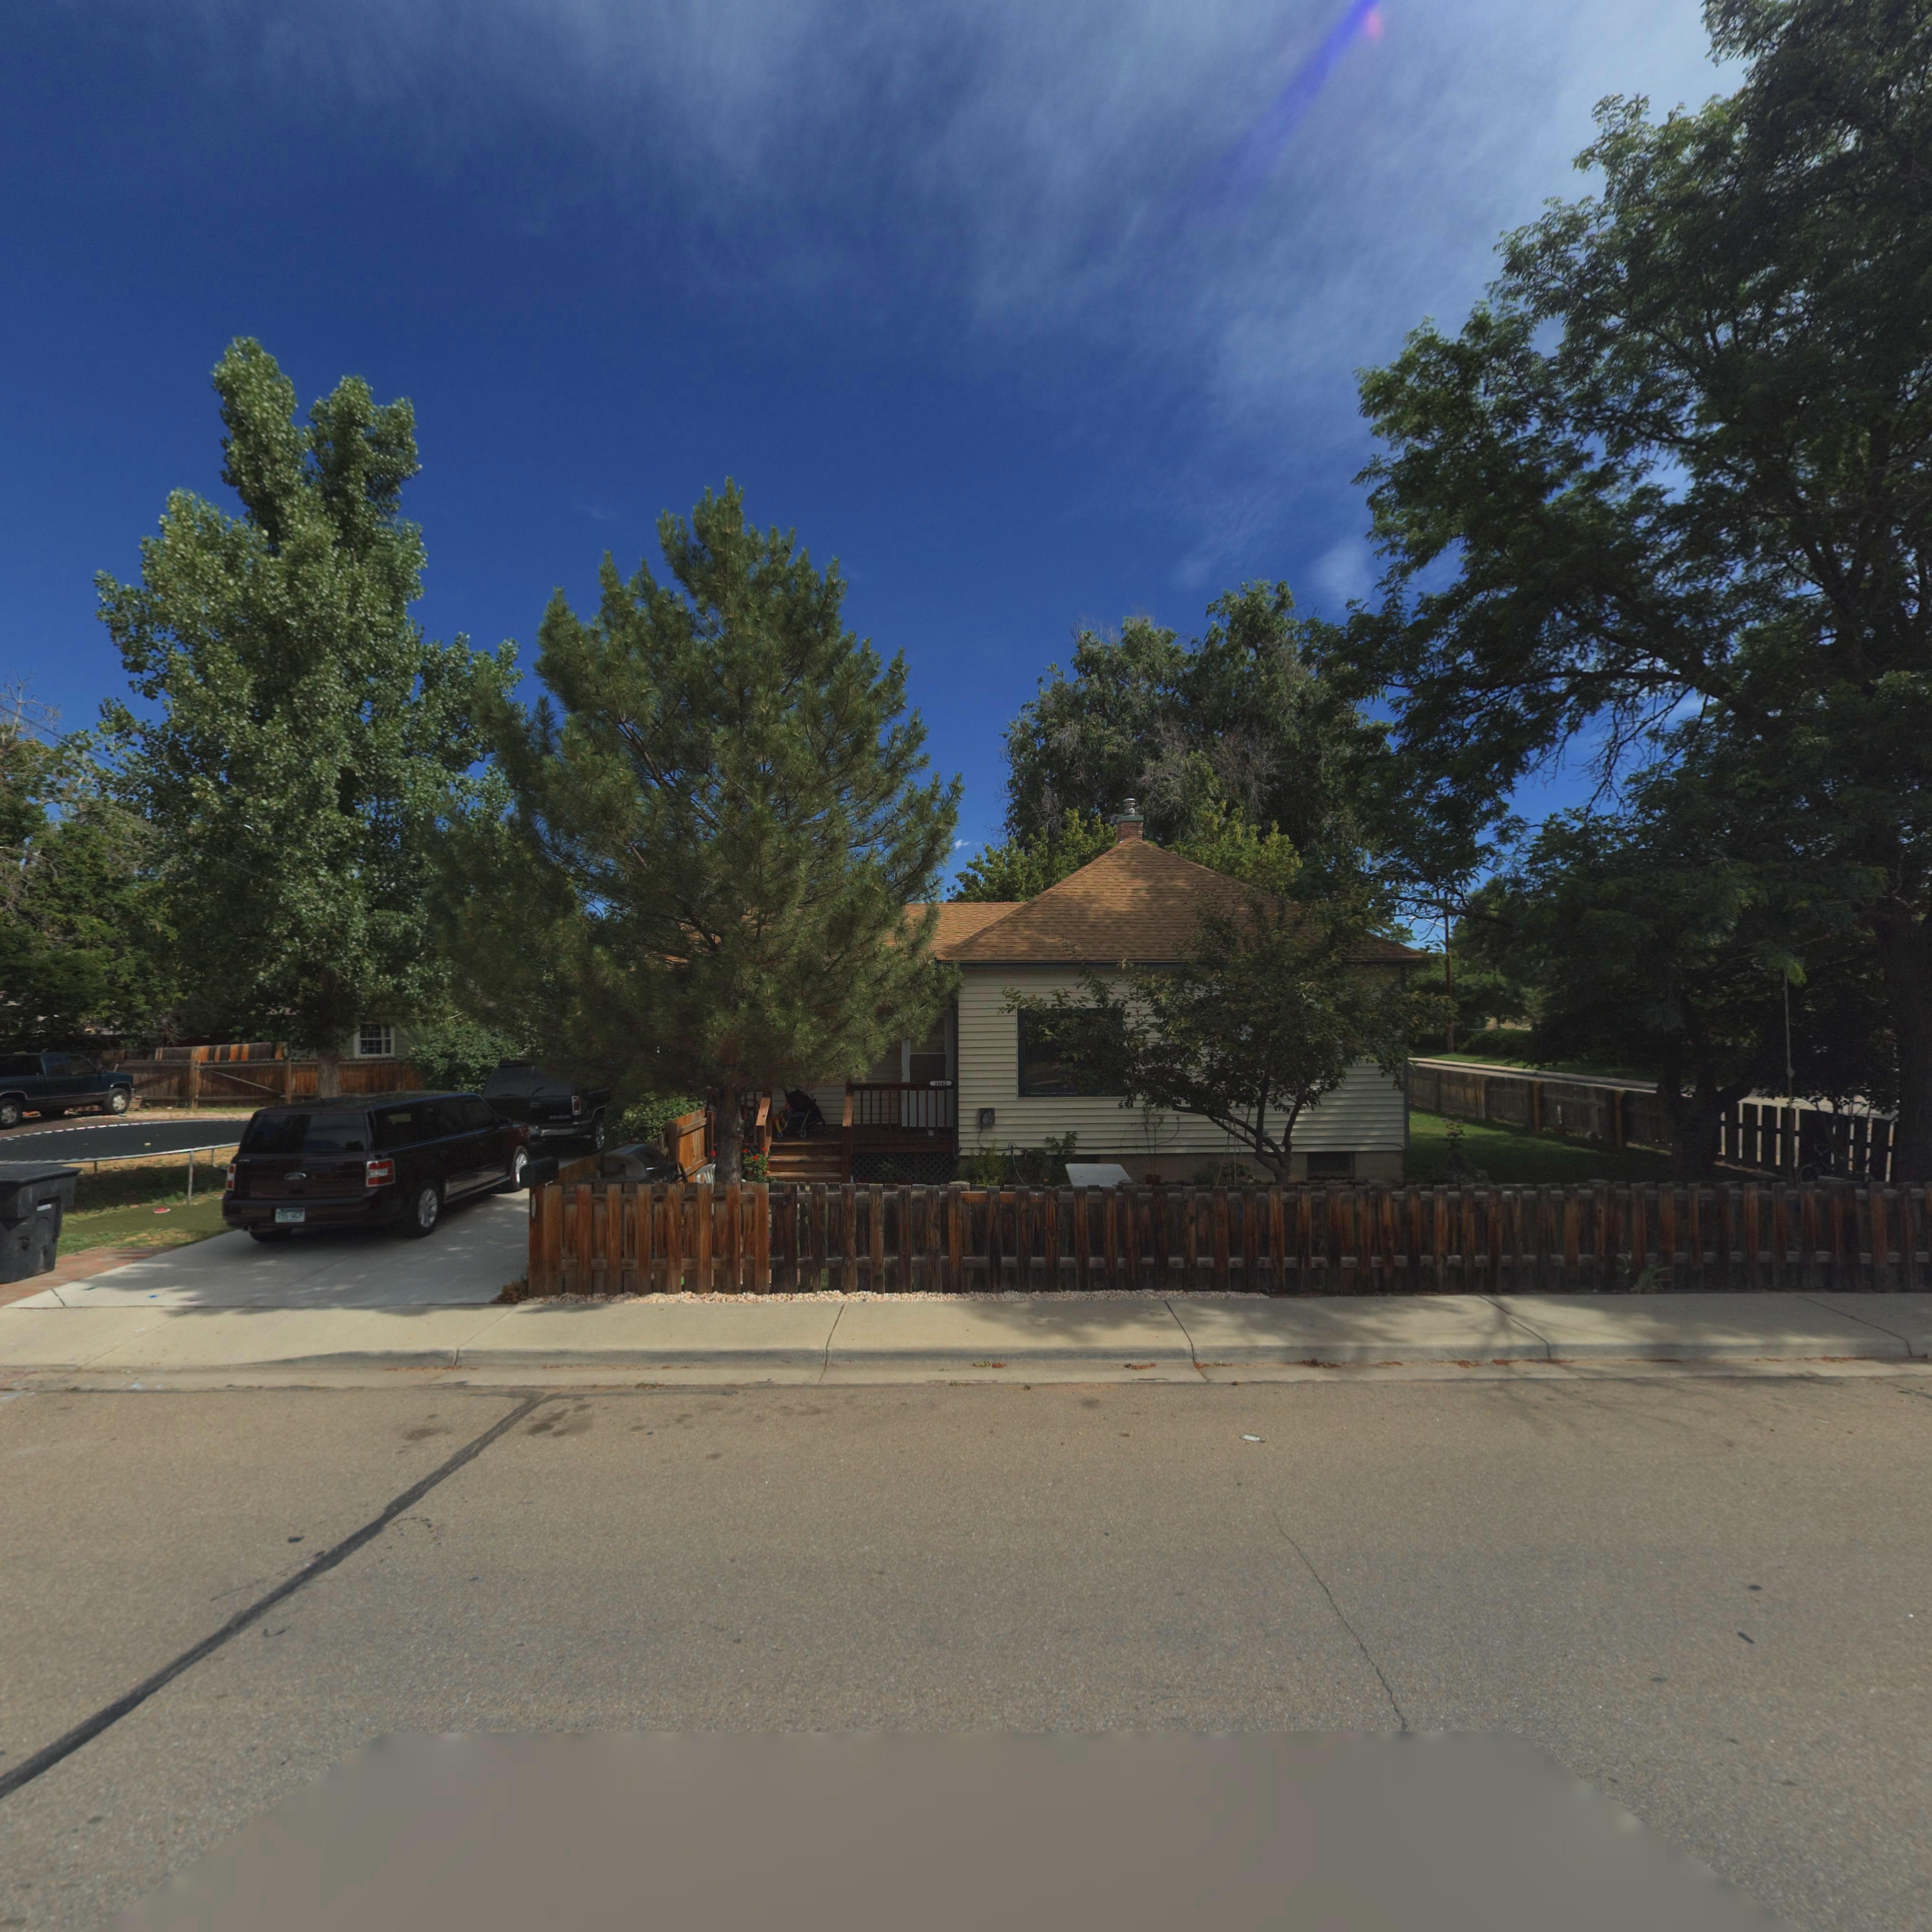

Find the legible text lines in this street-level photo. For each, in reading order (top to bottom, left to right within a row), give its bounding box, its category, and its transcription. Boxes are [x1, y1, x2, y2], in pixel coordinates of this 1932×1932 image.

[934, 1081, 947, 1085] StreetNumber: 1042